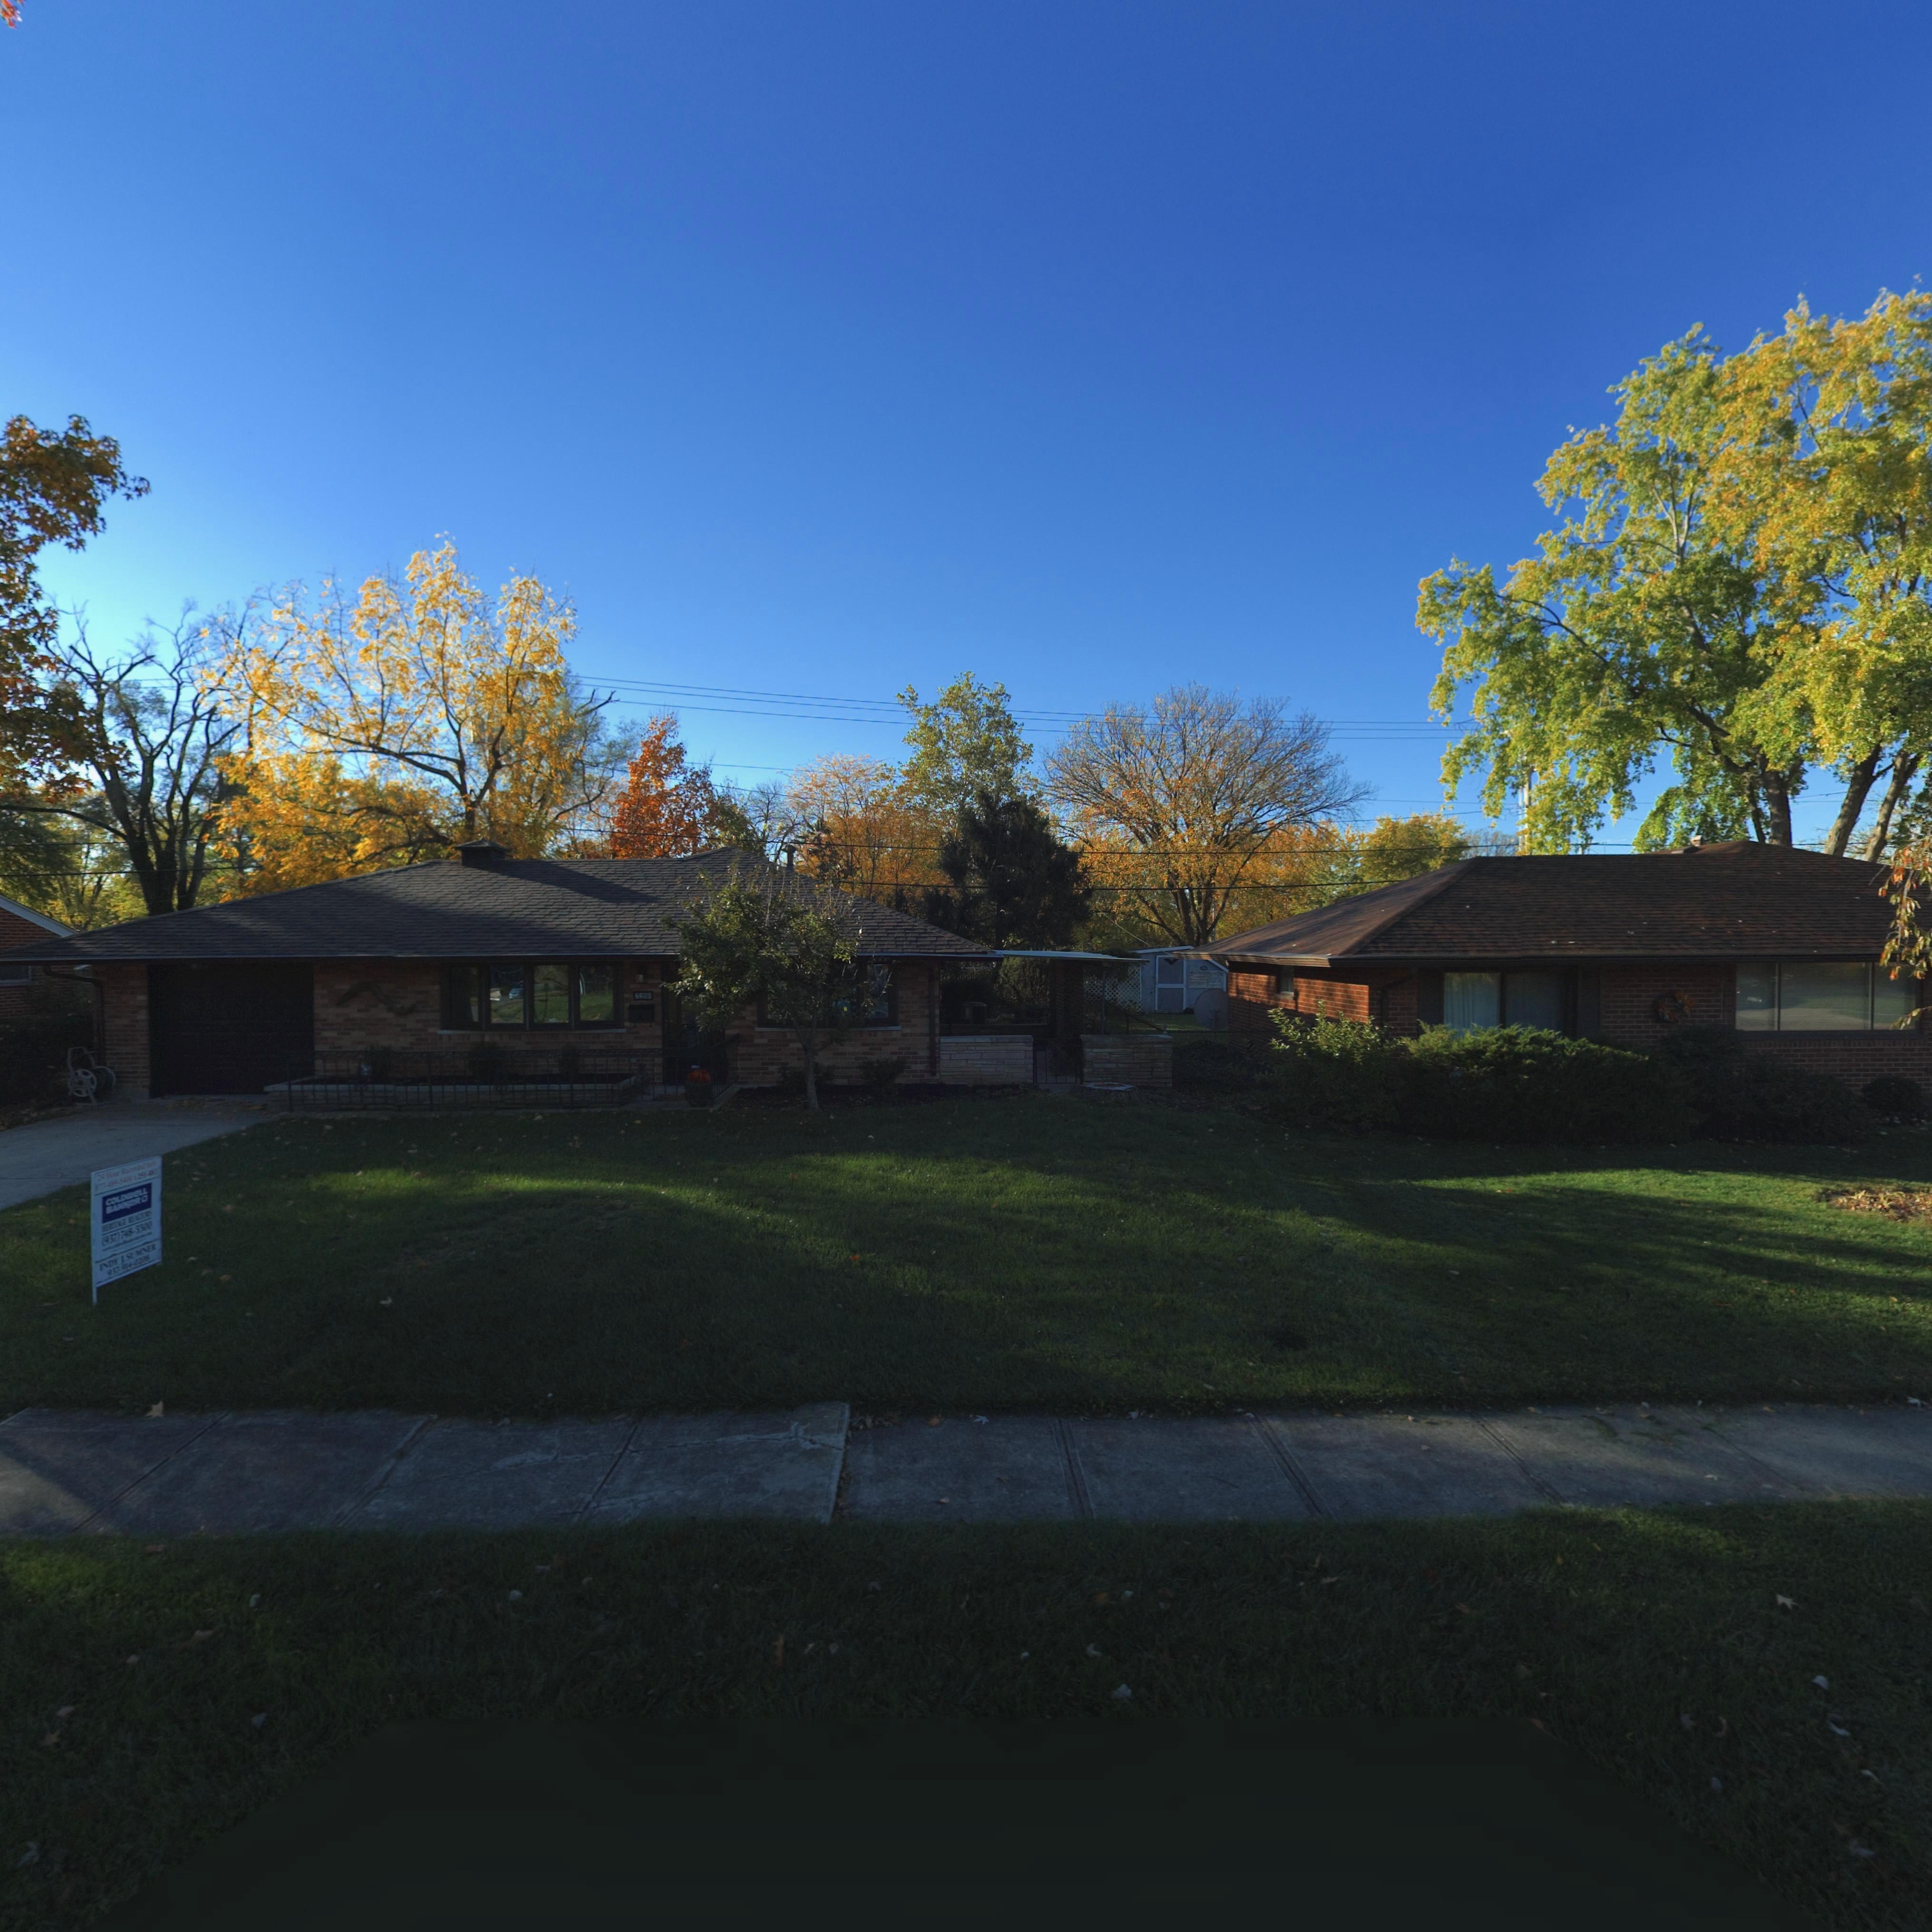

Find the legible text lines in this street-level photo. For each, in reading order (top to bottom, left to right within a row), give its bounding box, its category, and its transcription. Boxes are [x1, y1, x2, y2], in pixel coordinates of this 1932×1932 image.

[635, 992, 651, 999] StreetNumber: 22**